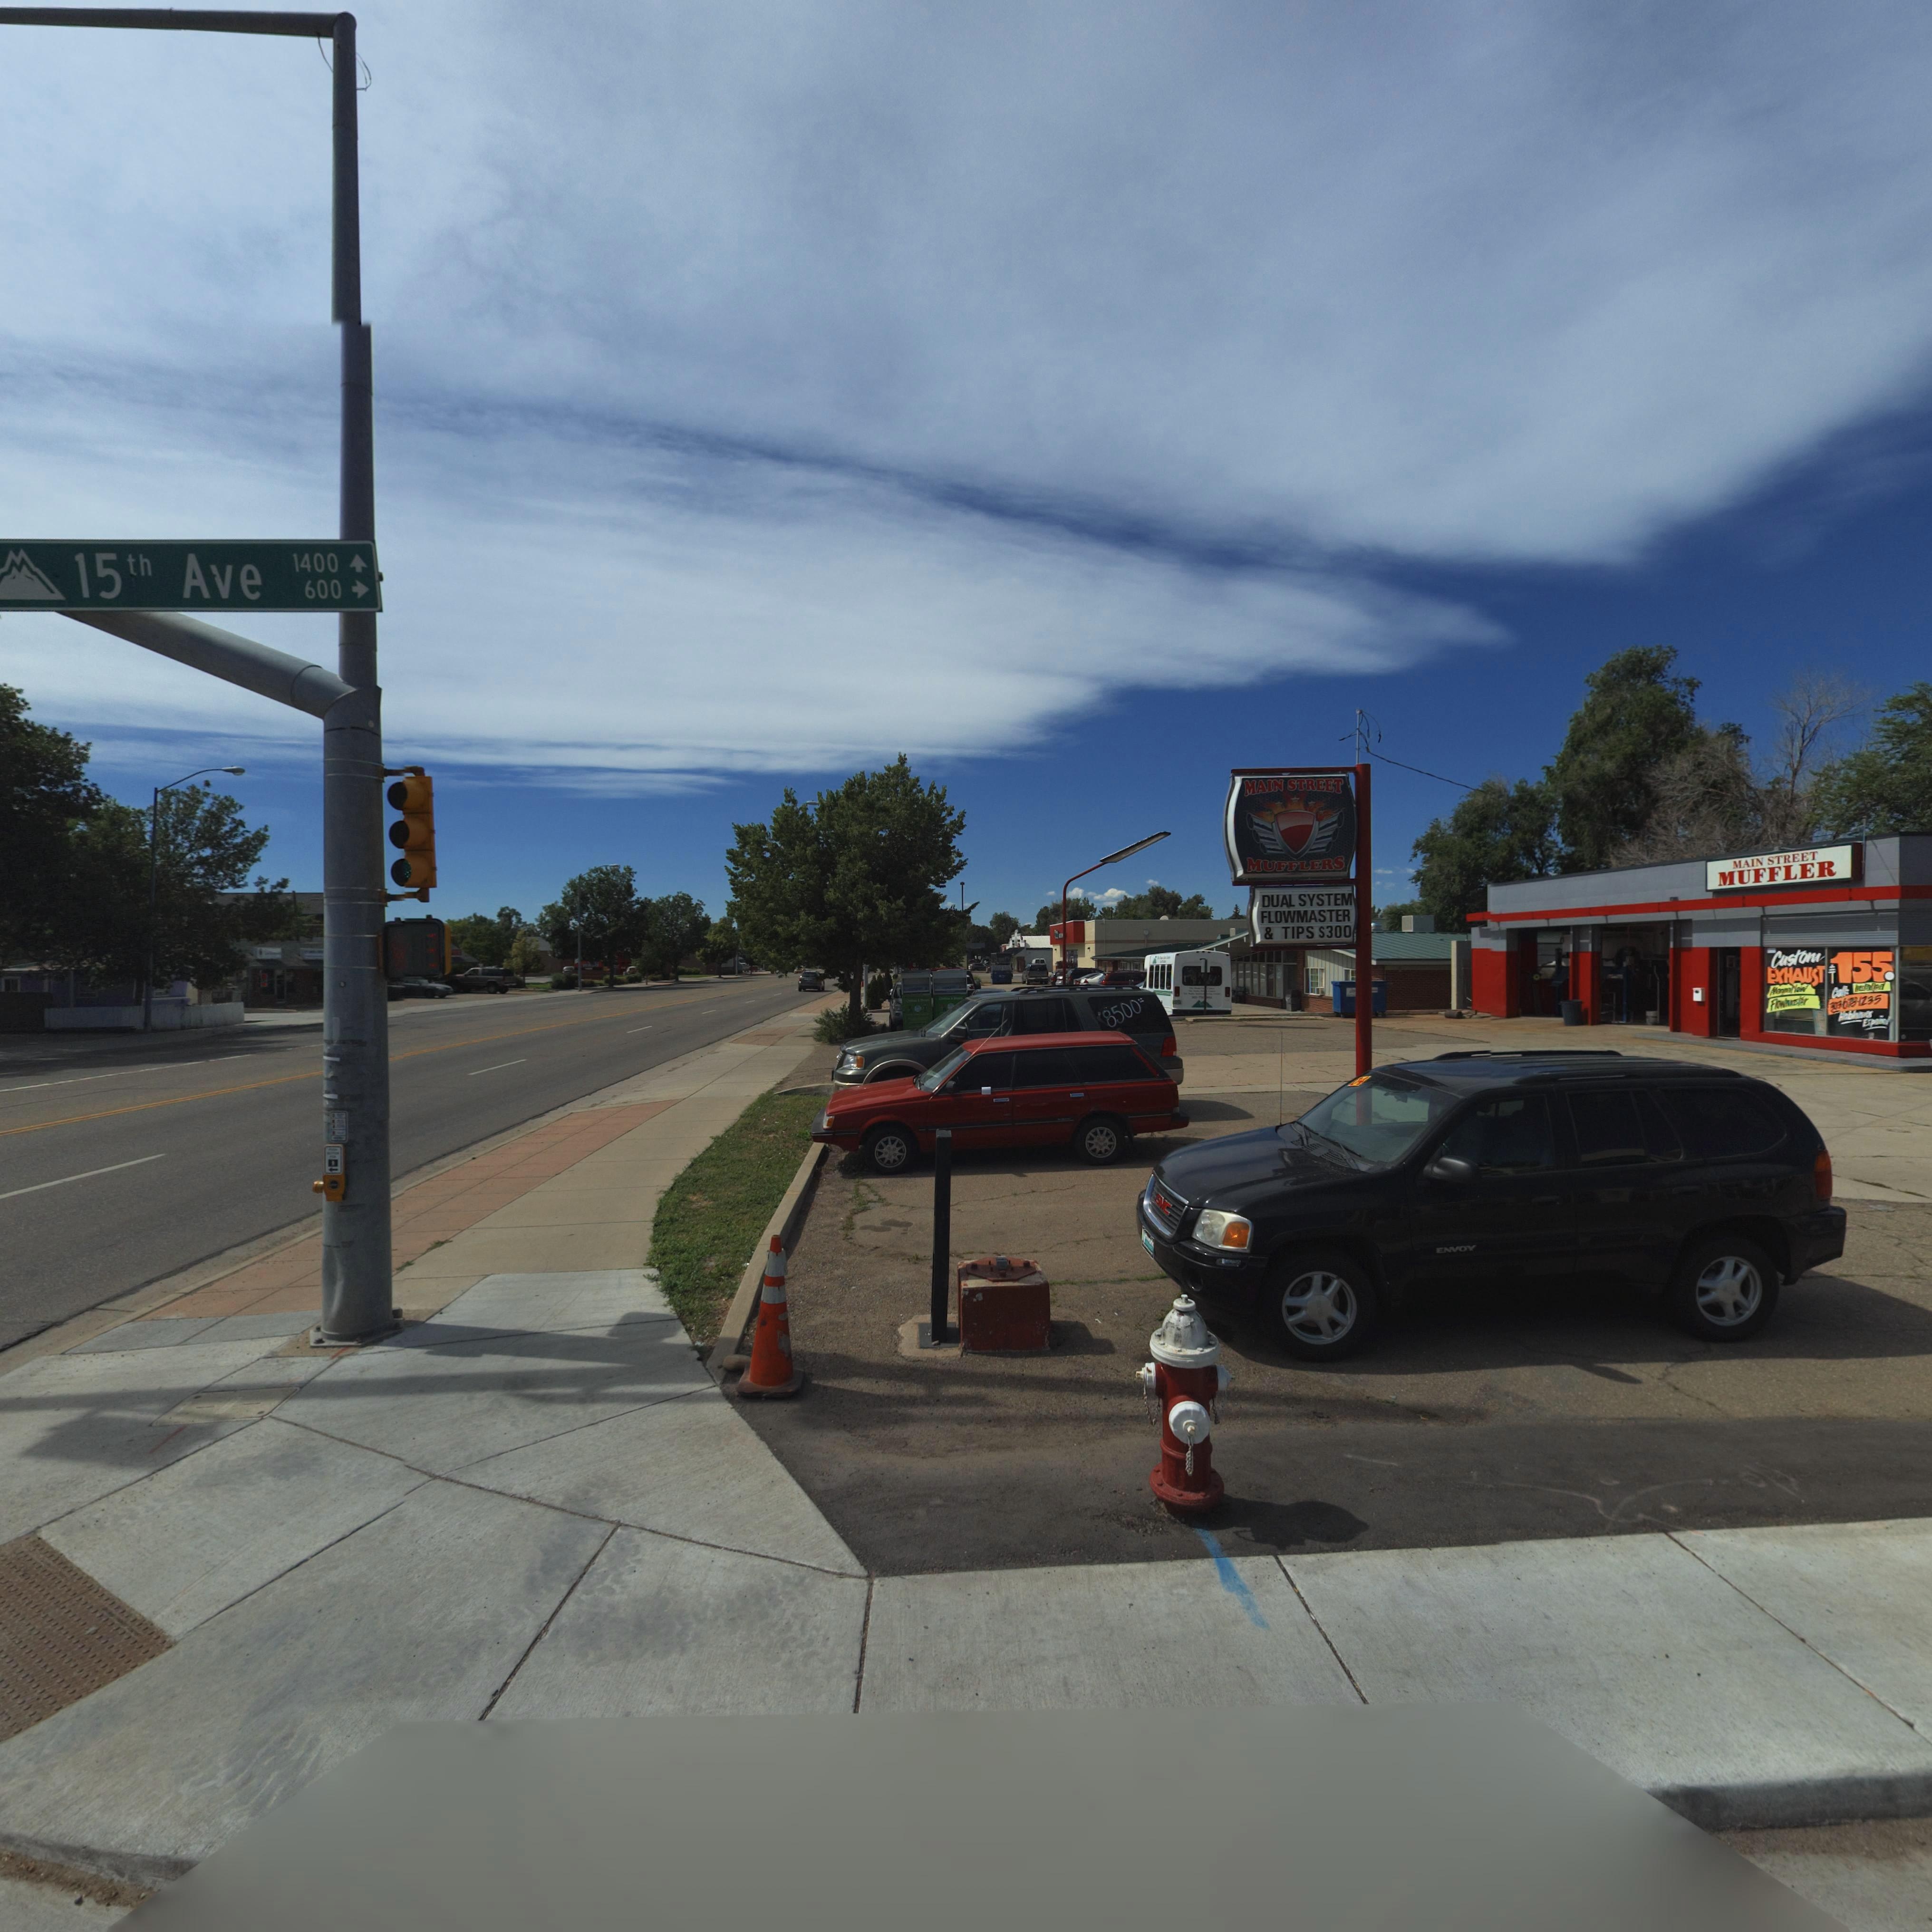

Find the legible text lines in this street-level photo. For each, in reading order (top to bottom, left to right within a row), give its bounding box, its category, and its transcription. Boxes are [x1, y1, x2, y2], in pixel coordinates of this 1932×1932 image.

[291, 551, 339, 573] StreetNumberRange: 1400
[73, 551, 262, 602] StreetName: 15th Ave
[303, 578, 372, 600] StreetNumberRange: 600->
[1243, 778, 1344, 797] BusinessName: MAIN STREET
[1246, 854, 1346, 873] BusinessName: MUFFLERS
[1732, 850, 1818, 869] BusinessName: MAIN STREET
[1717, 860, 1836, 887] BusinessName: MUFFLER\